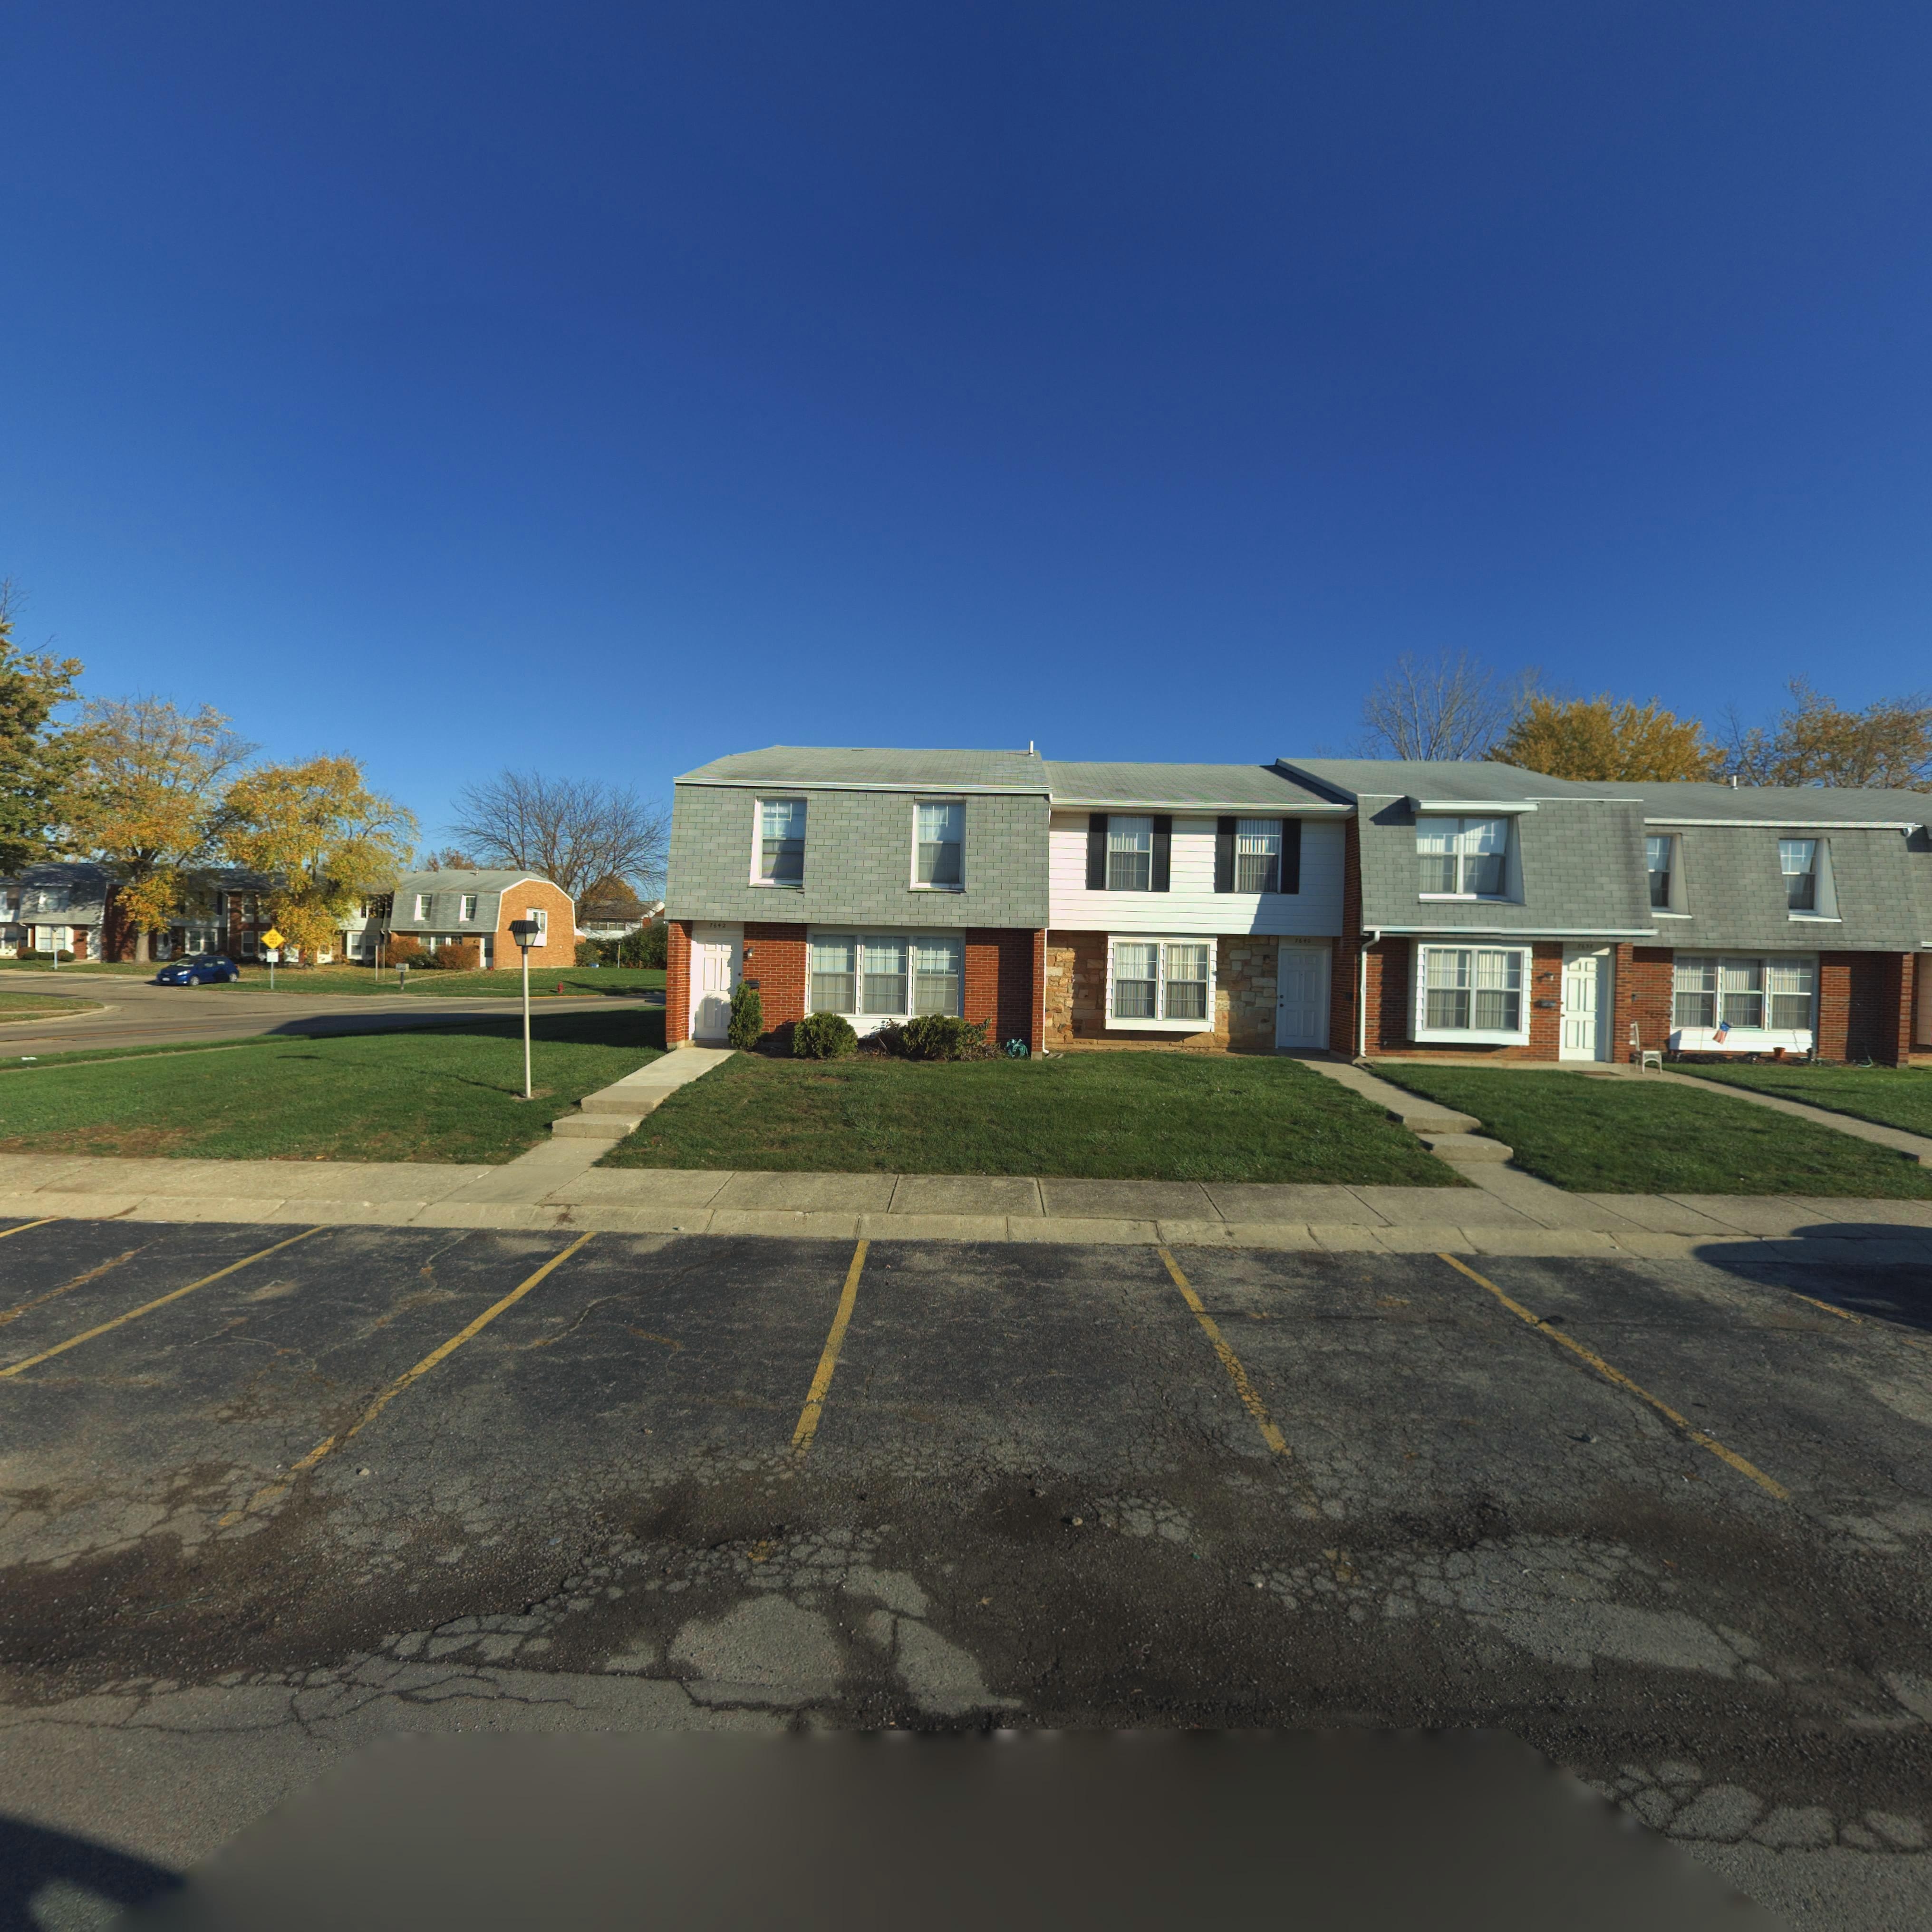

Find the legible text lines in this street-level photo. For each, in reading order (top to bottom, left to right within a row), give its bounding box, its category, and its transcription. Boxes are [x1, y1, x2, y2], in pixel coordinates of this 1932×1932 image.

[709, 922, 726, 928] StreetNumber: 7642
[1294, 937, 1312, 944] StreetNumber: 7640
[1577, 943, 1594, 949] StreetNumber: 7638